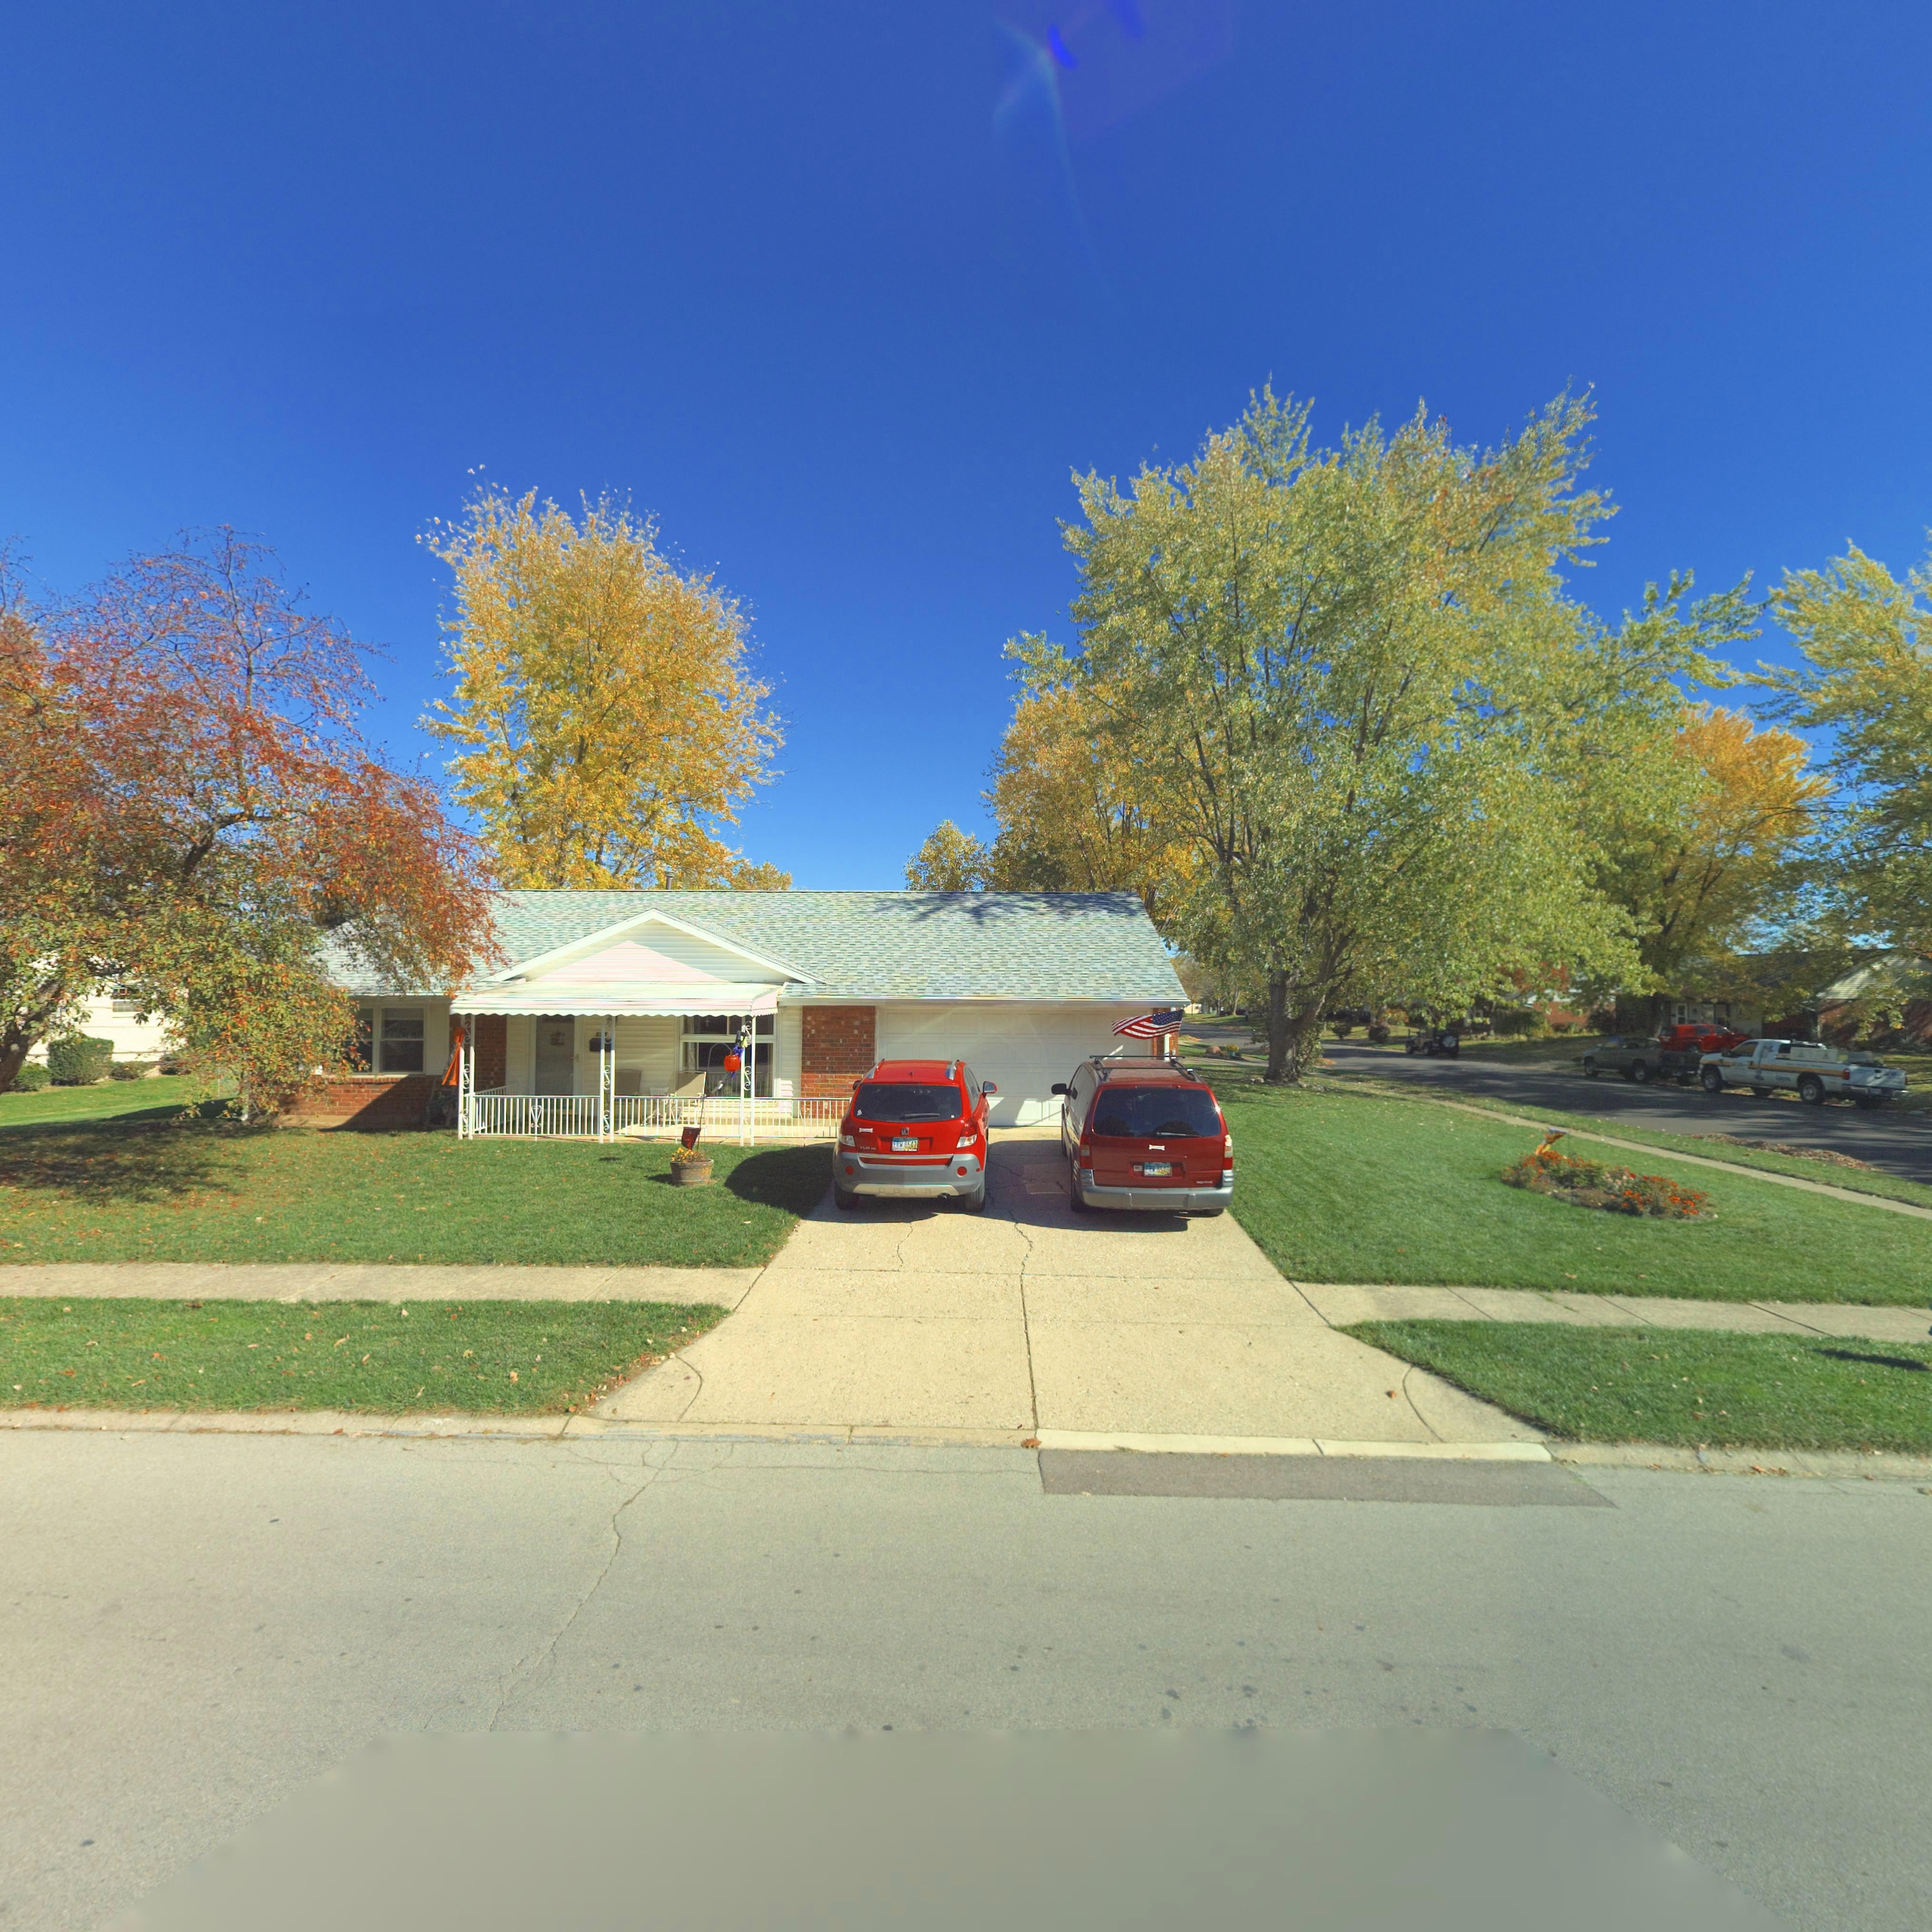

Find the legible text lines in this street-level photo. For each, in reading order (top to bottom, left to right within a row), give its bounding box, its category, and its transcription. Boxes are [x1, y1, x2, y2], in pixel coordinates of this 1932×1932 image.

[595, 1032, 600, 1037] StreetNumber: 6